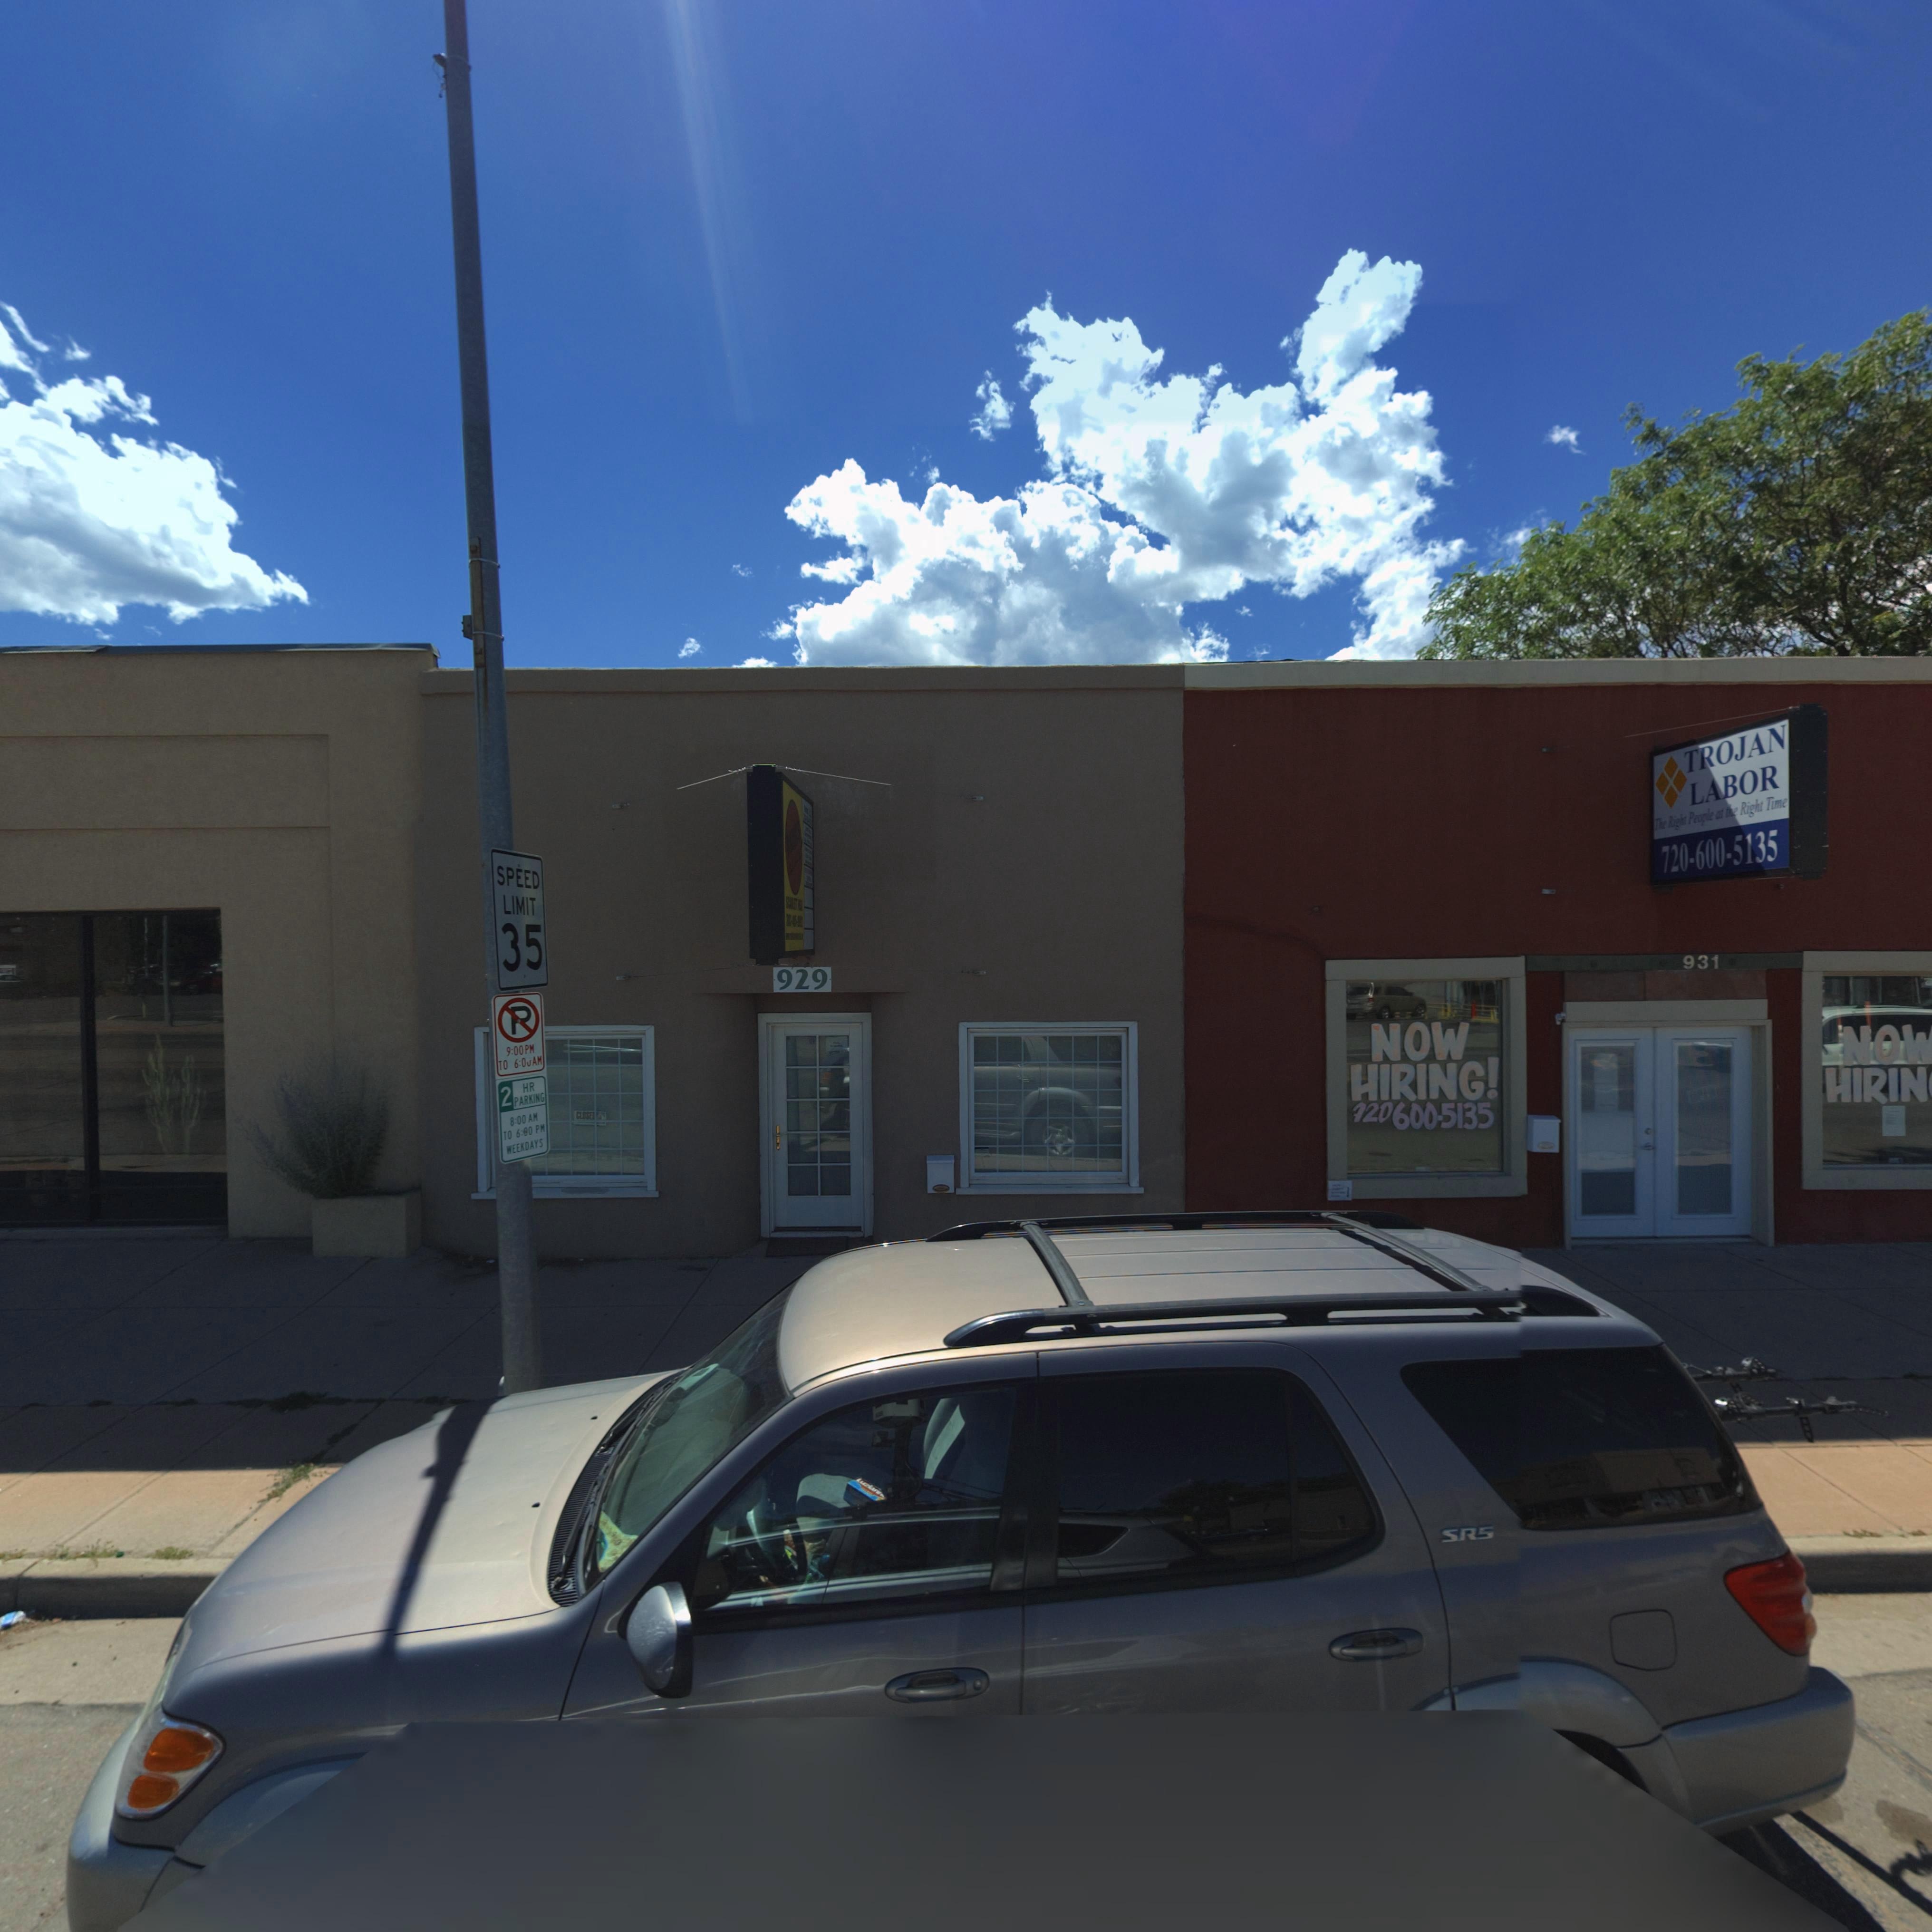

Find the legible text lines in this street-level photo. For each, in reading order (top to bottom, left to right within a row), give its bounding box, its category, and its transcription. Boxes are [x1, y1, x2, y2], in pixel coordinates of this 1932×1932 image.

[1683, 724, 1787, 773] BusinessName: TROJAN
[1689, 765, 1779, 806] BusinessName: LABOR
[777, 969, 827, 990] StreetNumber: 929
[1682, 954, 1719, 969] StreetNumber: 931